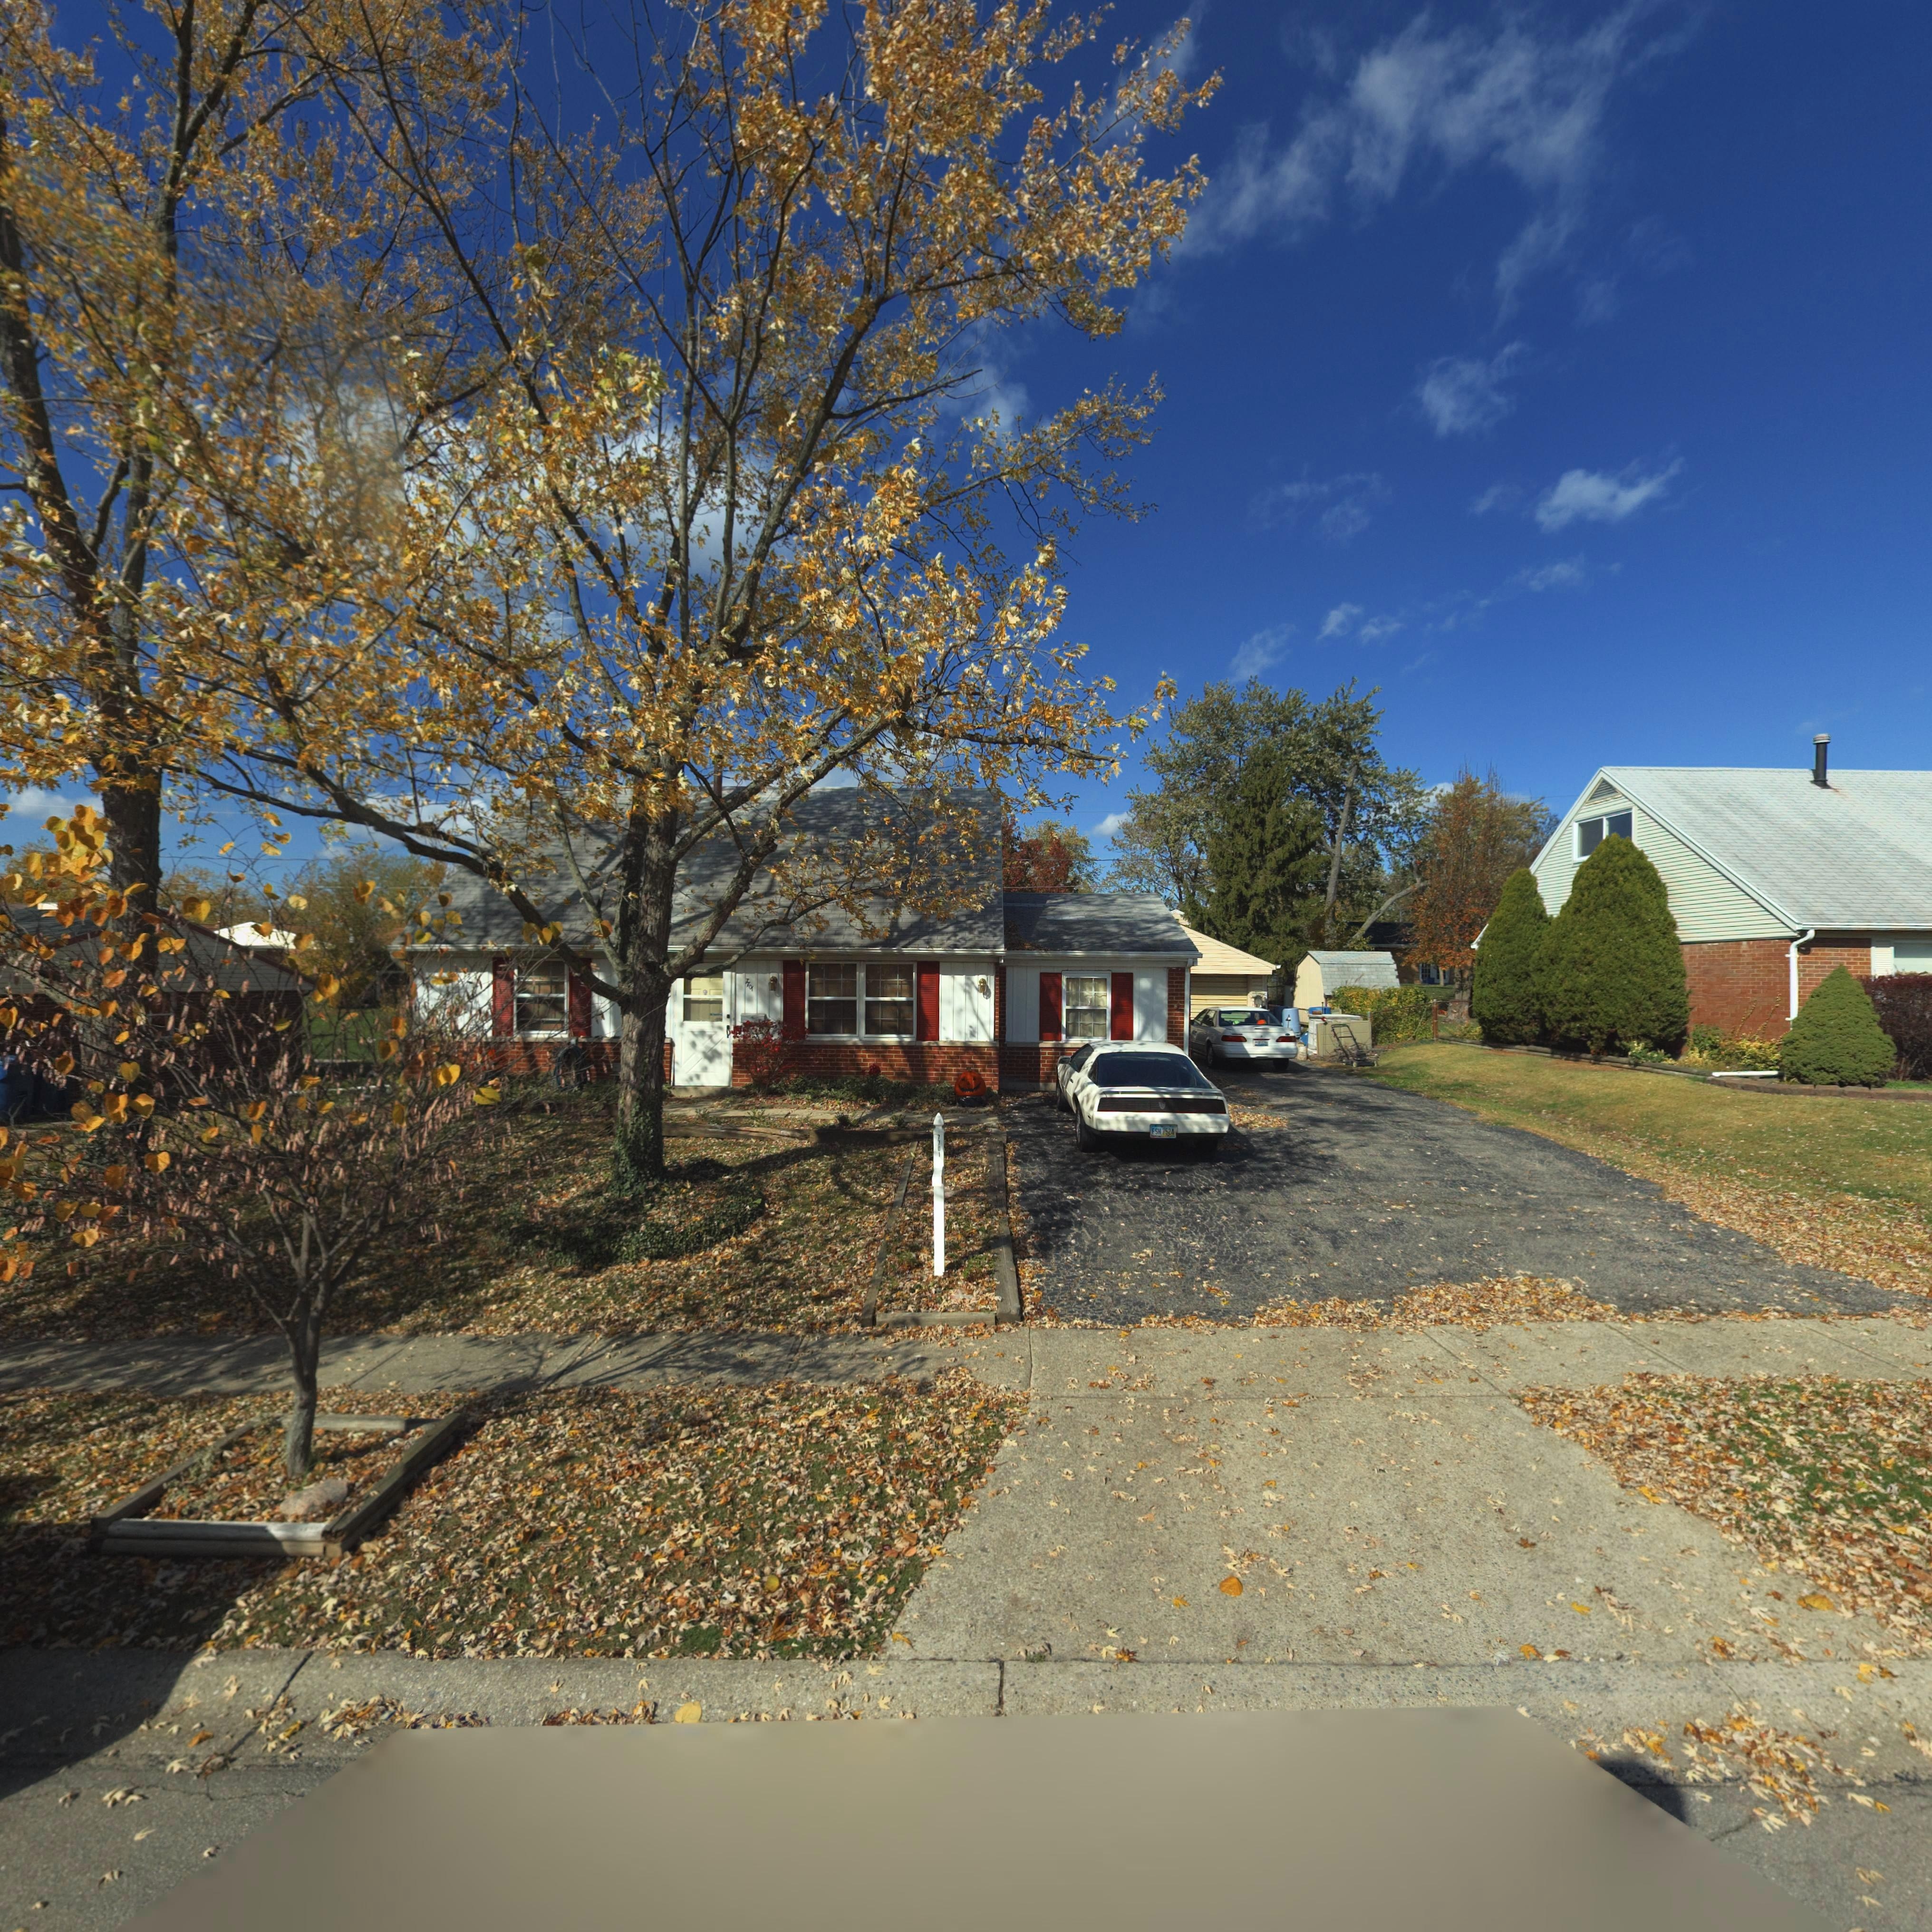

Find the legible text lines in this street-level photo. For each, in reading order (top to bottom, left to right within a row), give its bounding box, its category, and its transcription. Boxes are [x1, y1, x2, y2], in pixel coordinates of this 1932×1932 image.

[744, 978, 753, 992] StreetNumber: 7701
[937, 1134, 941, 1157] StreetNumber: 7701